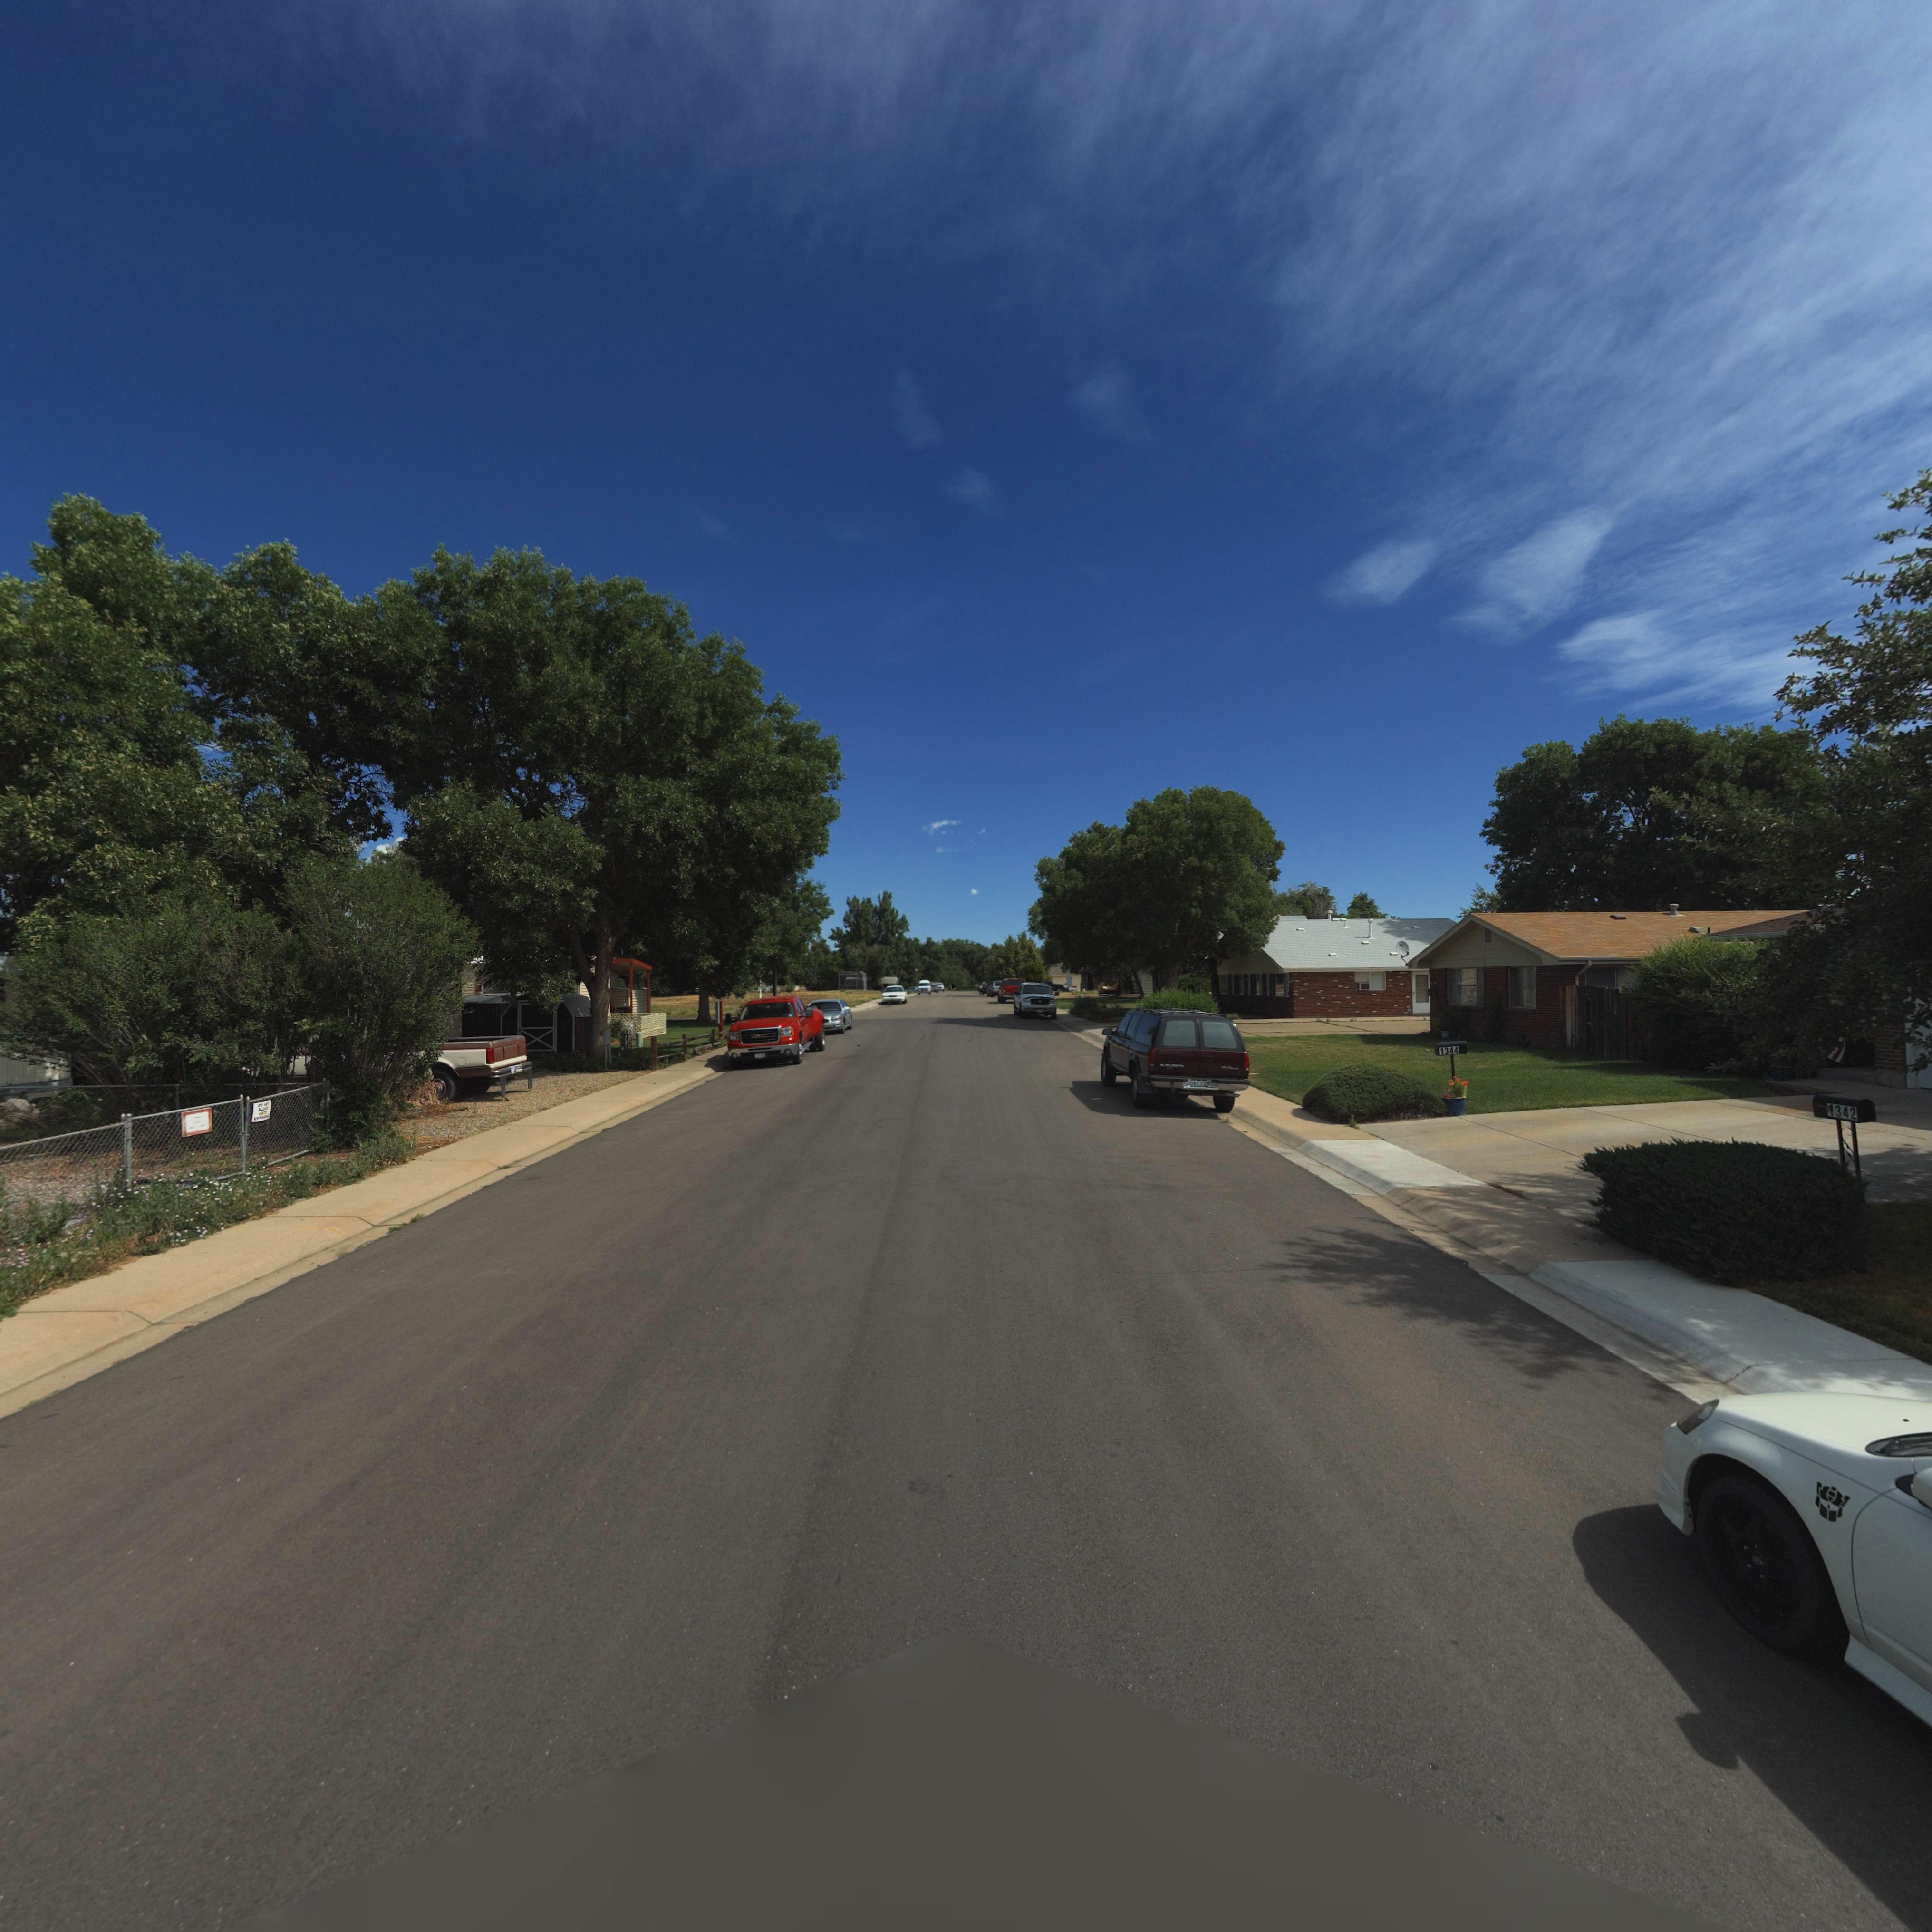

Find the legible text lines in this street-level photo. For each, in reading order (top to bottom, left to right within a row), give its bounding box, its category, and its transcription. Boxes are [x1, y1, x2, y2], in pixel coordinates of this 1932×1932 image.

[1439, 1046, 1459, 1055] StreetNumber: 1344
[1828, 1103, 1857, 1120] StreetNumber: 1342